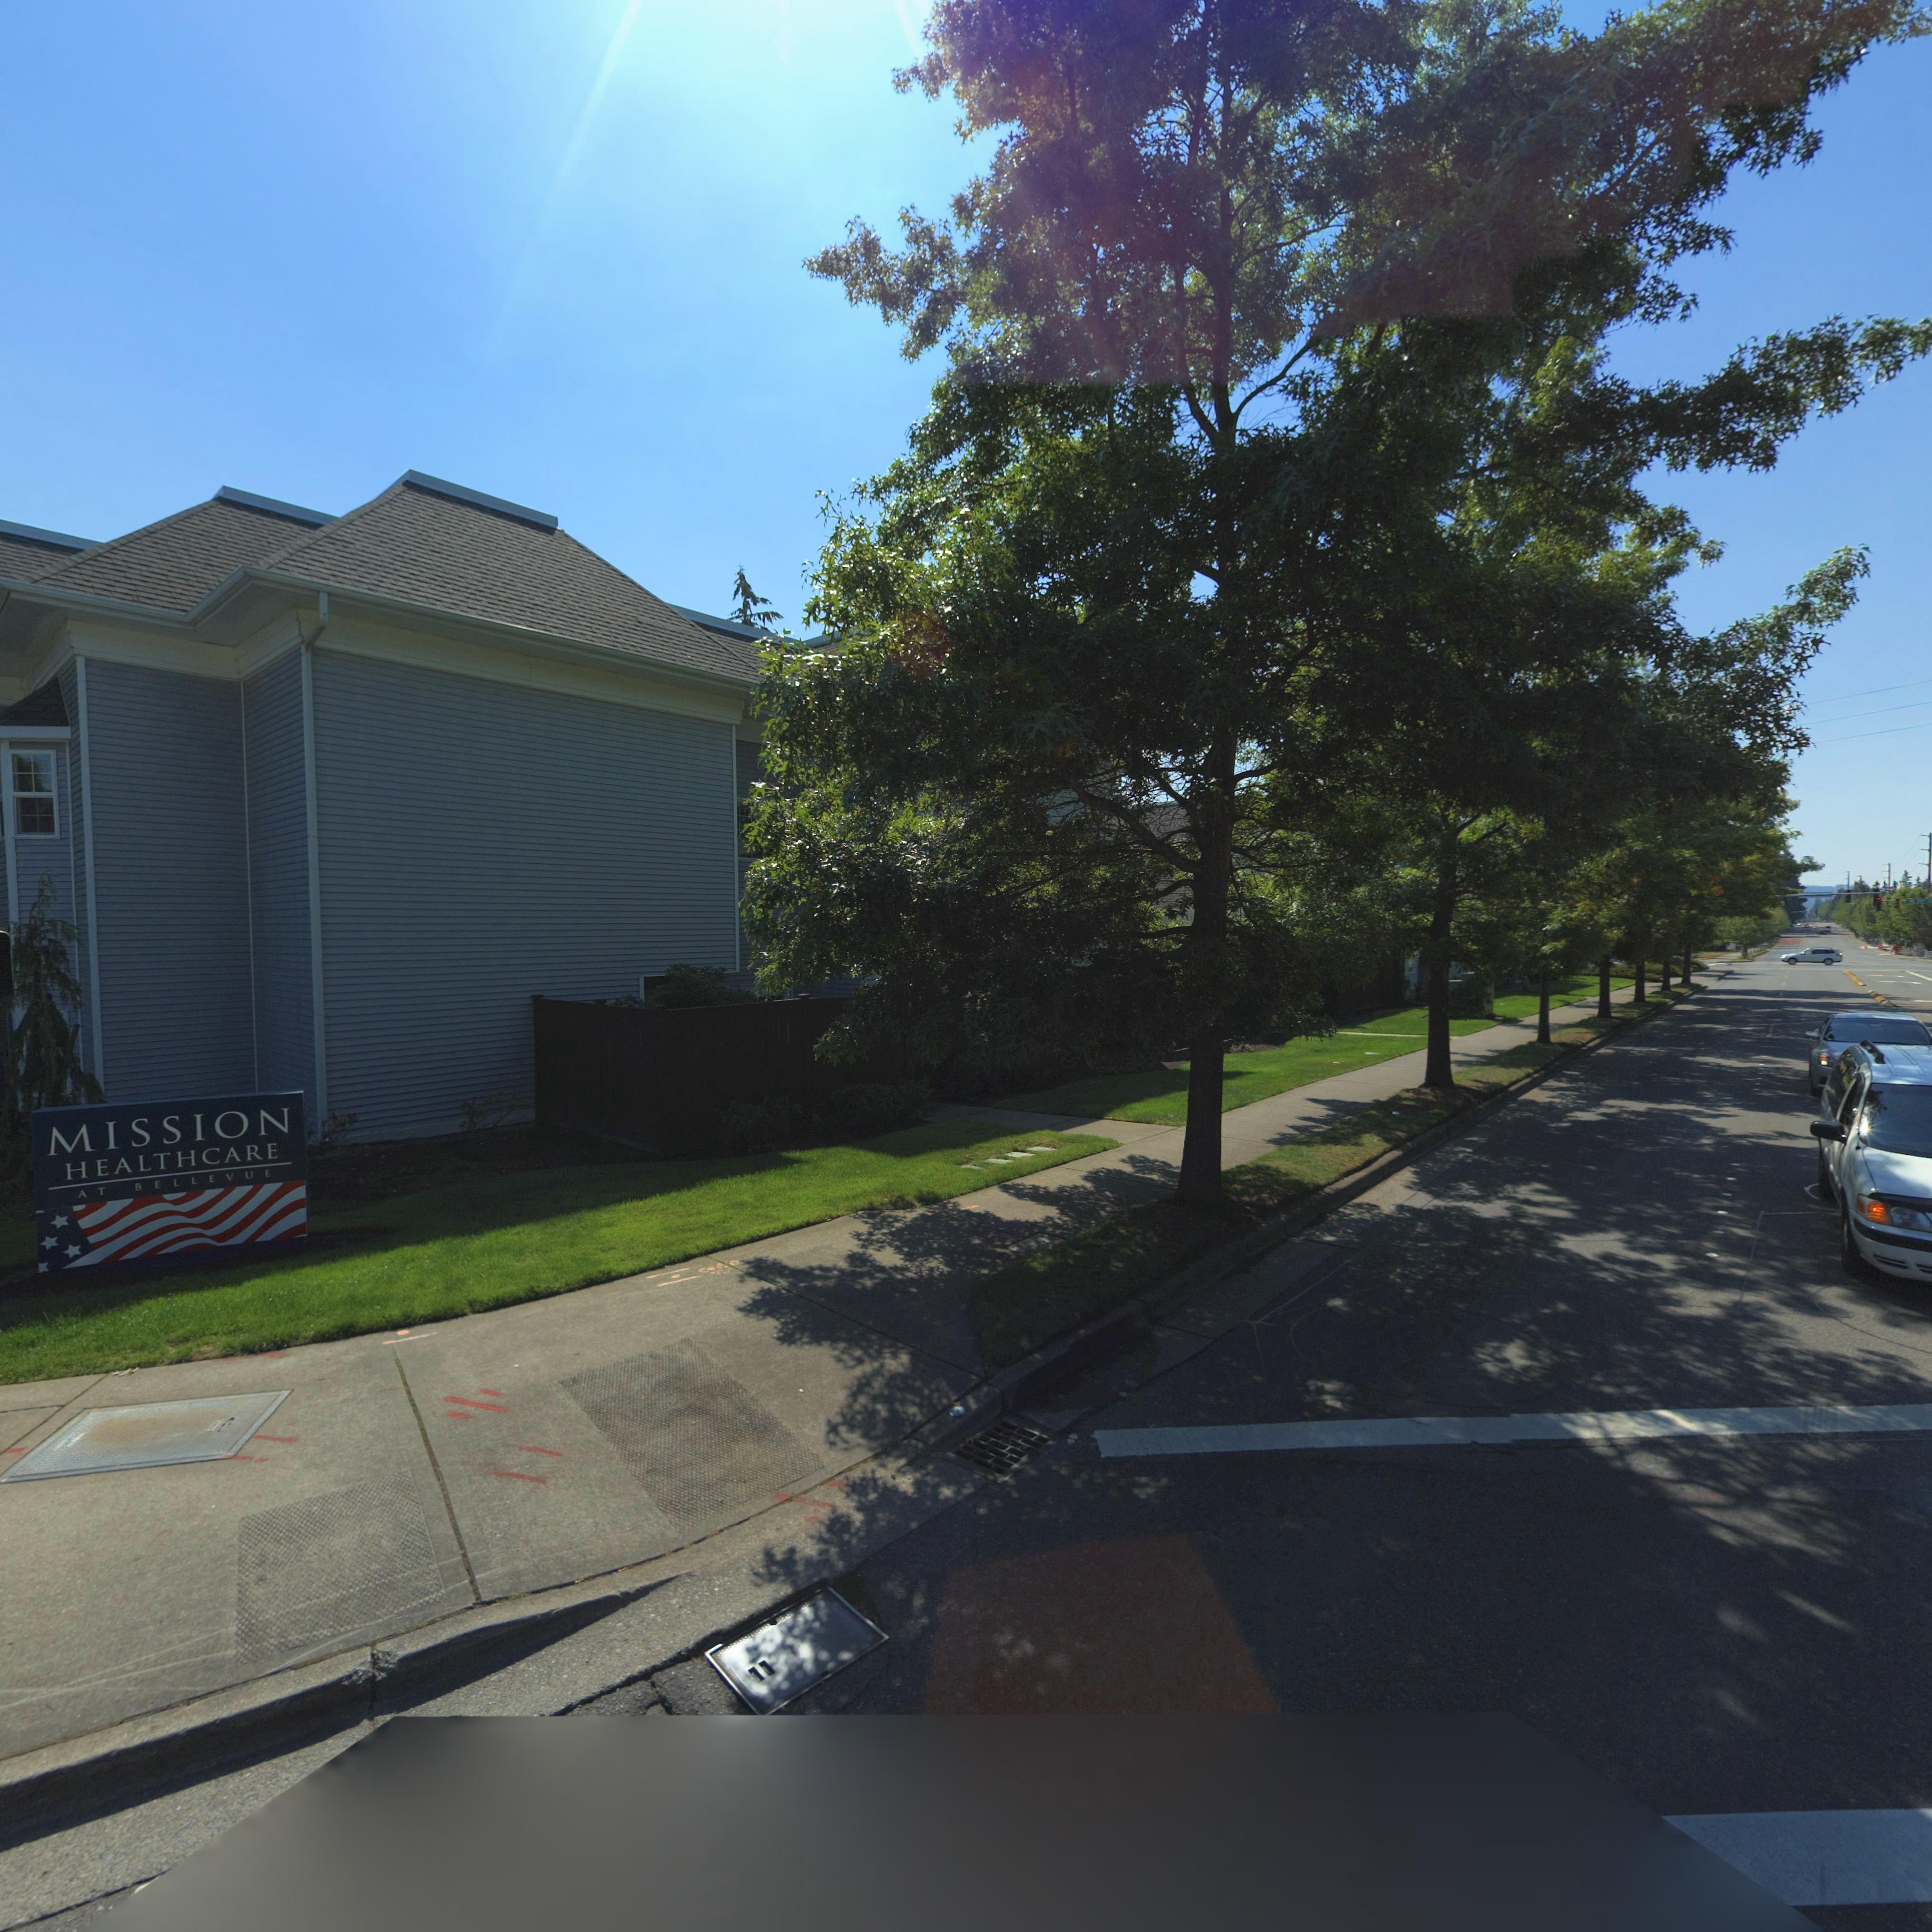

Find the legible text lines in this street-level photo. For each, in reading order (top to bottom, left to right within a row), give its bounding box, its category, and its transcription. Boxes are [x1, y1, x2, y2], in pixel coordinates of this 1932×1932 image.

[65, 1143, 277, 1180] BusinessName: H EALTHCARE
[44, 1096, 305, 1161] SecondaryUnitDesignator: MISSION